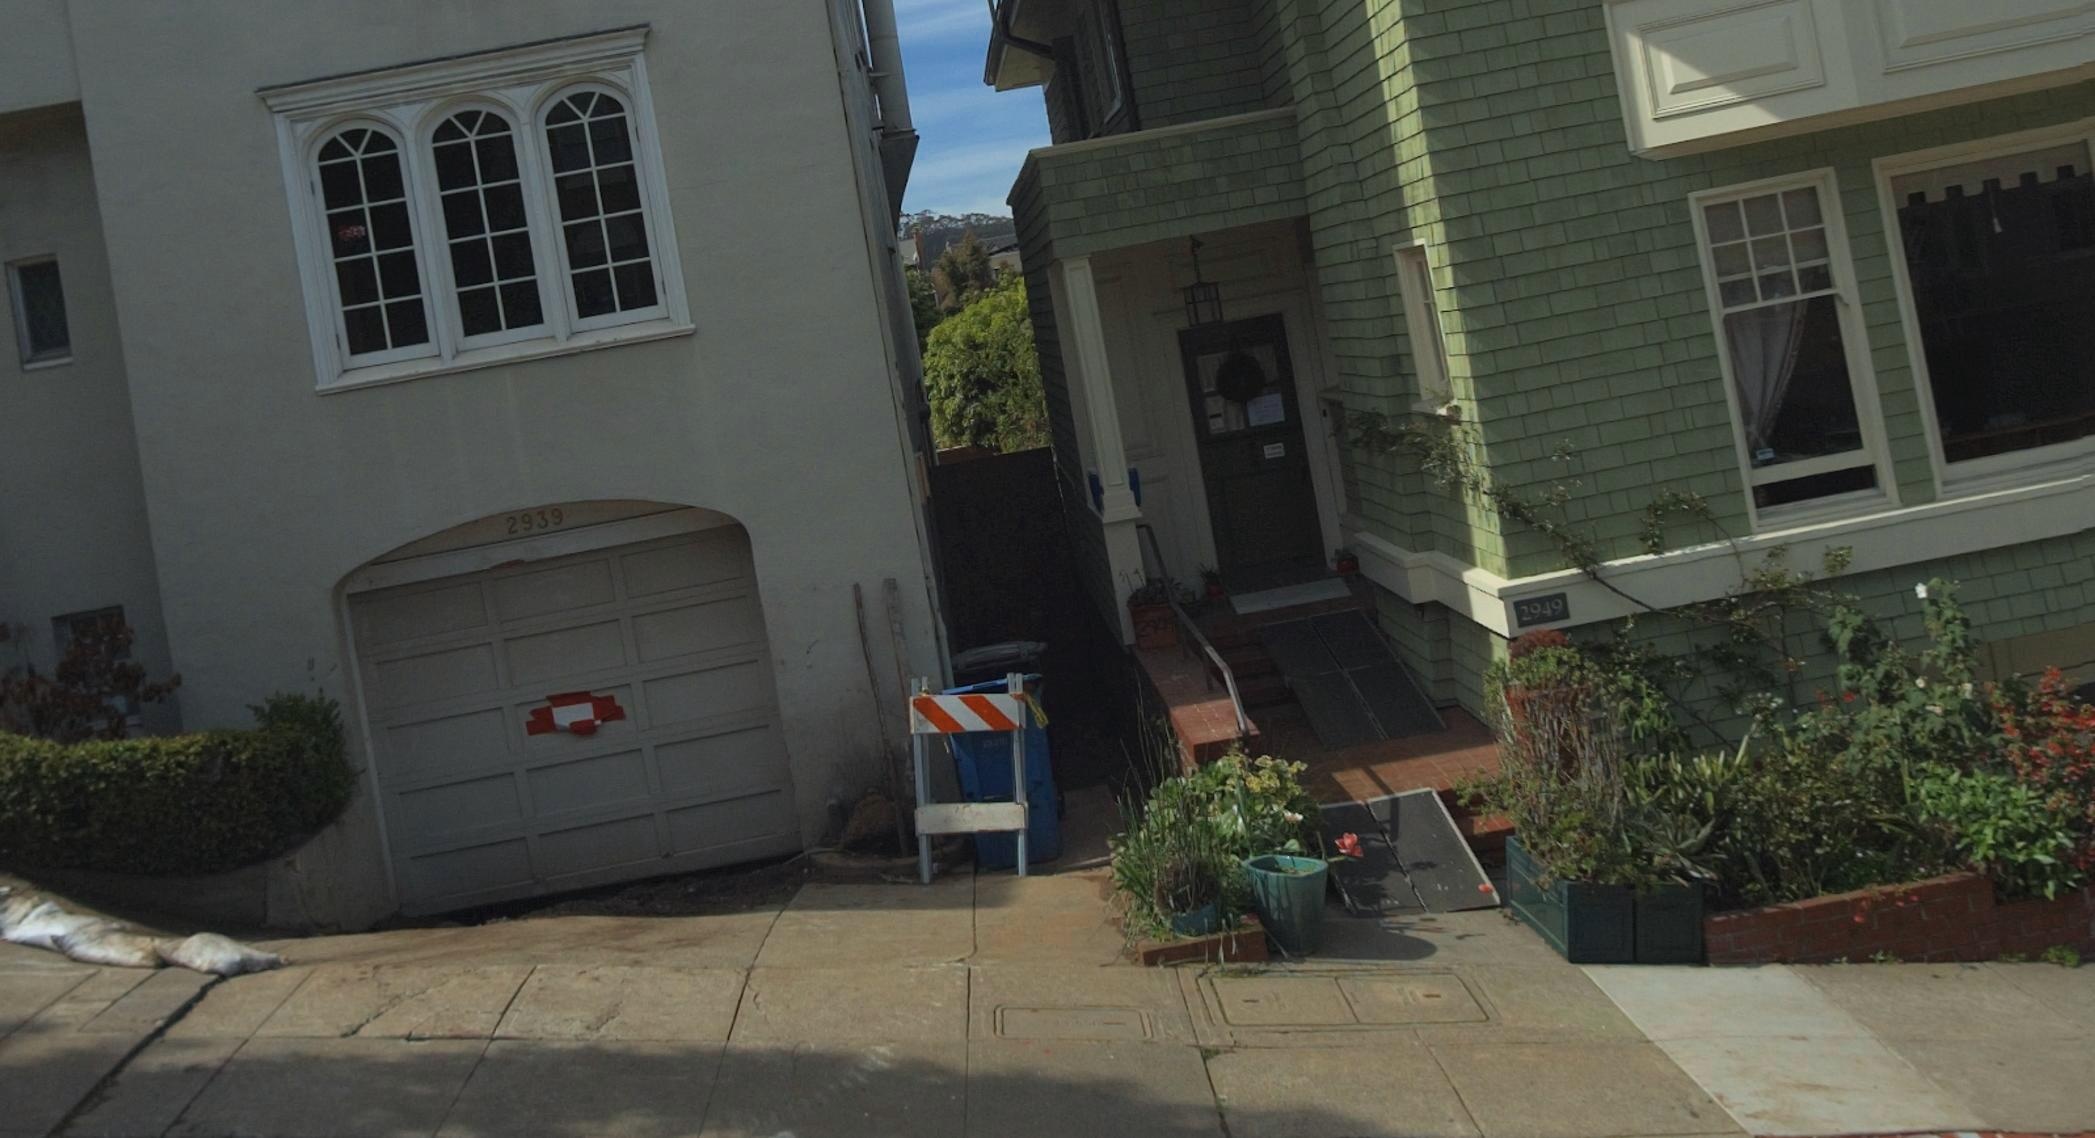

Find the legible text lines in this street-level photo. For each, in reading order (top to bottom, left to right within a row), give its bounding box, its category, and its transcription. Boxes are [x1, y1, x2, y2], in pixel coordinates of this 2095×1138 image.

[502, 505, 564, 538] StreetNumber: 2939
[1518, 597, 1566, 624] StreetNumber: 2949